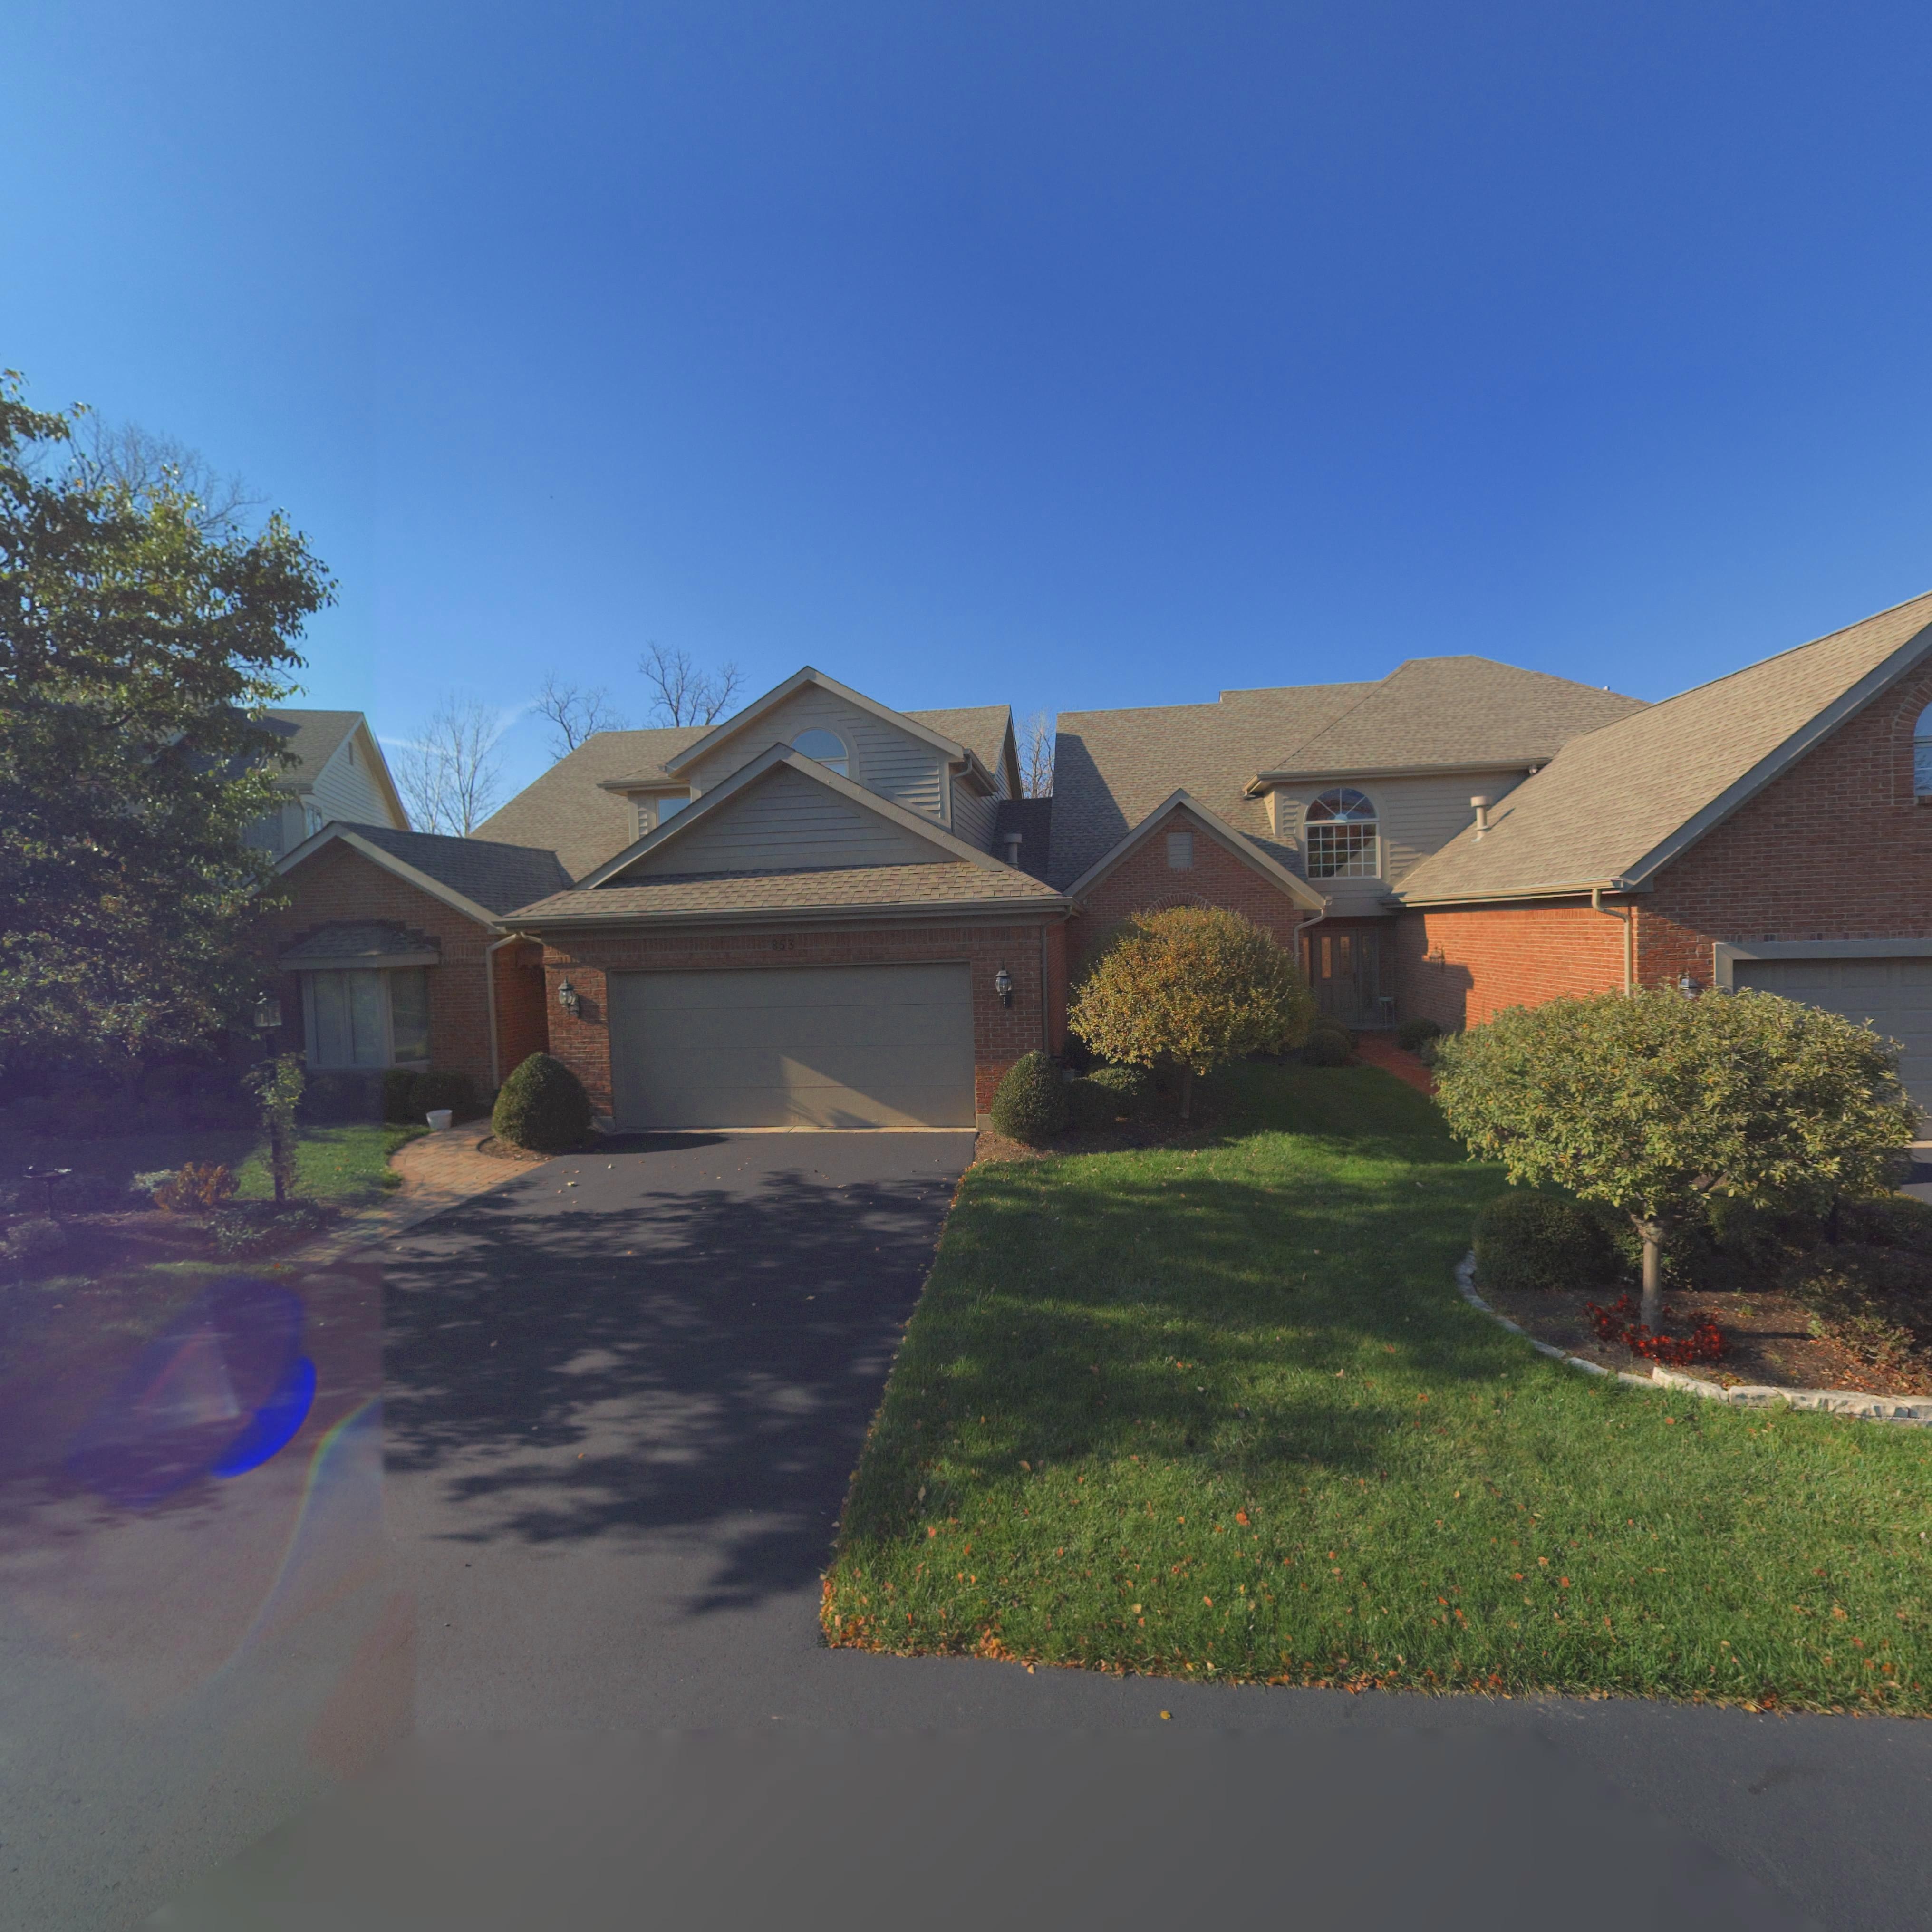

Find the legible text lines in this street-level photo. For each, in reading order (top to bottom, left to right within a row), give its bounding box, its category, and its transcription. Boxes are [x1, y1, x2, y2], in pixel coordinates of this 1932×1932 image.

[771, 937, 796, 951] StreetNumber: 853